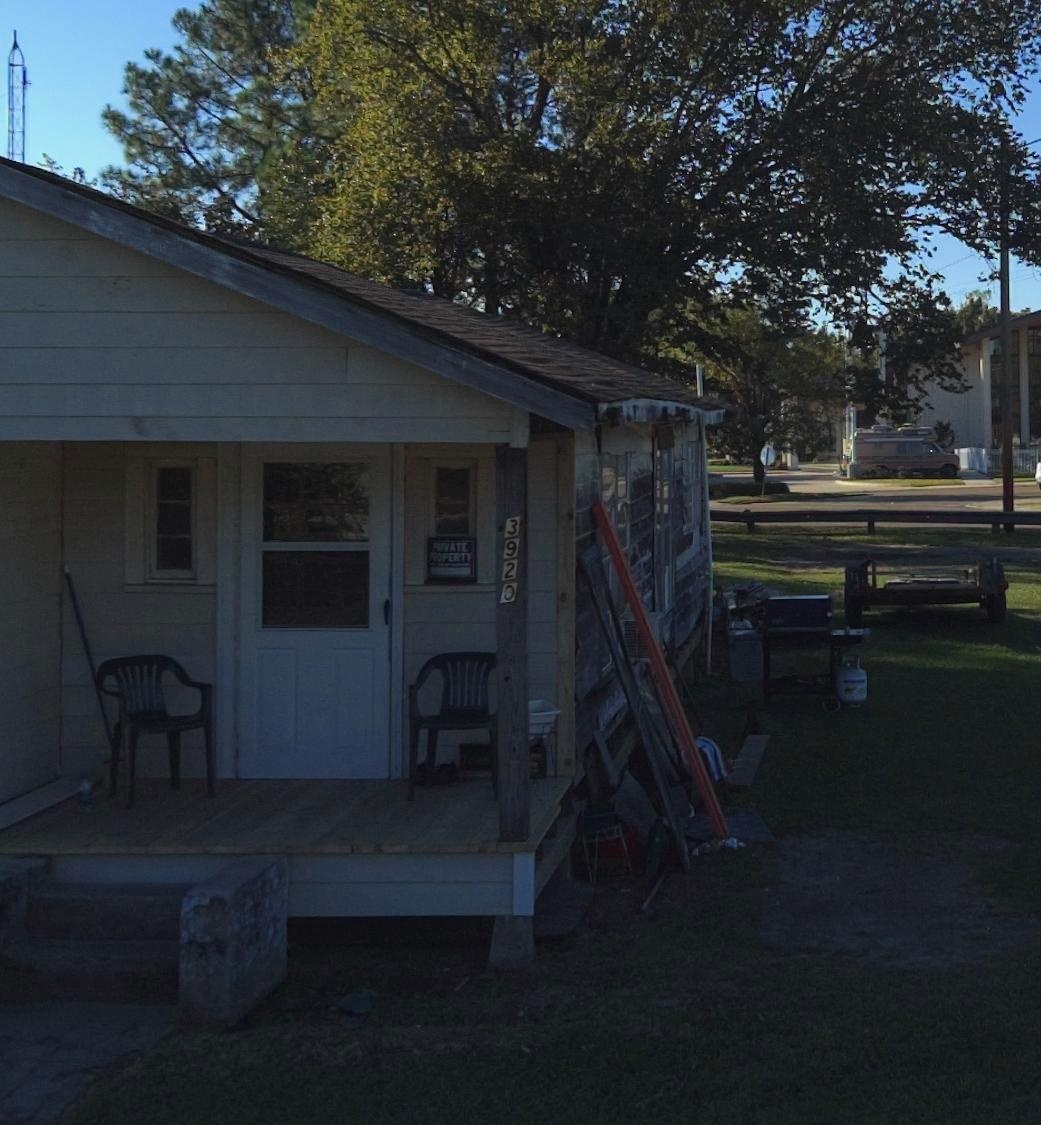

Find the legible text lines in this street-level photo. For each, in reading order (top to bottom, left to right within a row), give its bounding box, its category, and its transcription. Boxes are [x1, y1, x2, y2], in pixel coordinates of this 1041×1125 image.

[441, 541, 470, 554] None: VATE
[441, 551, 475, 564] None: PERTY
[499, 517, 521, 603] StreetNumber: 3920